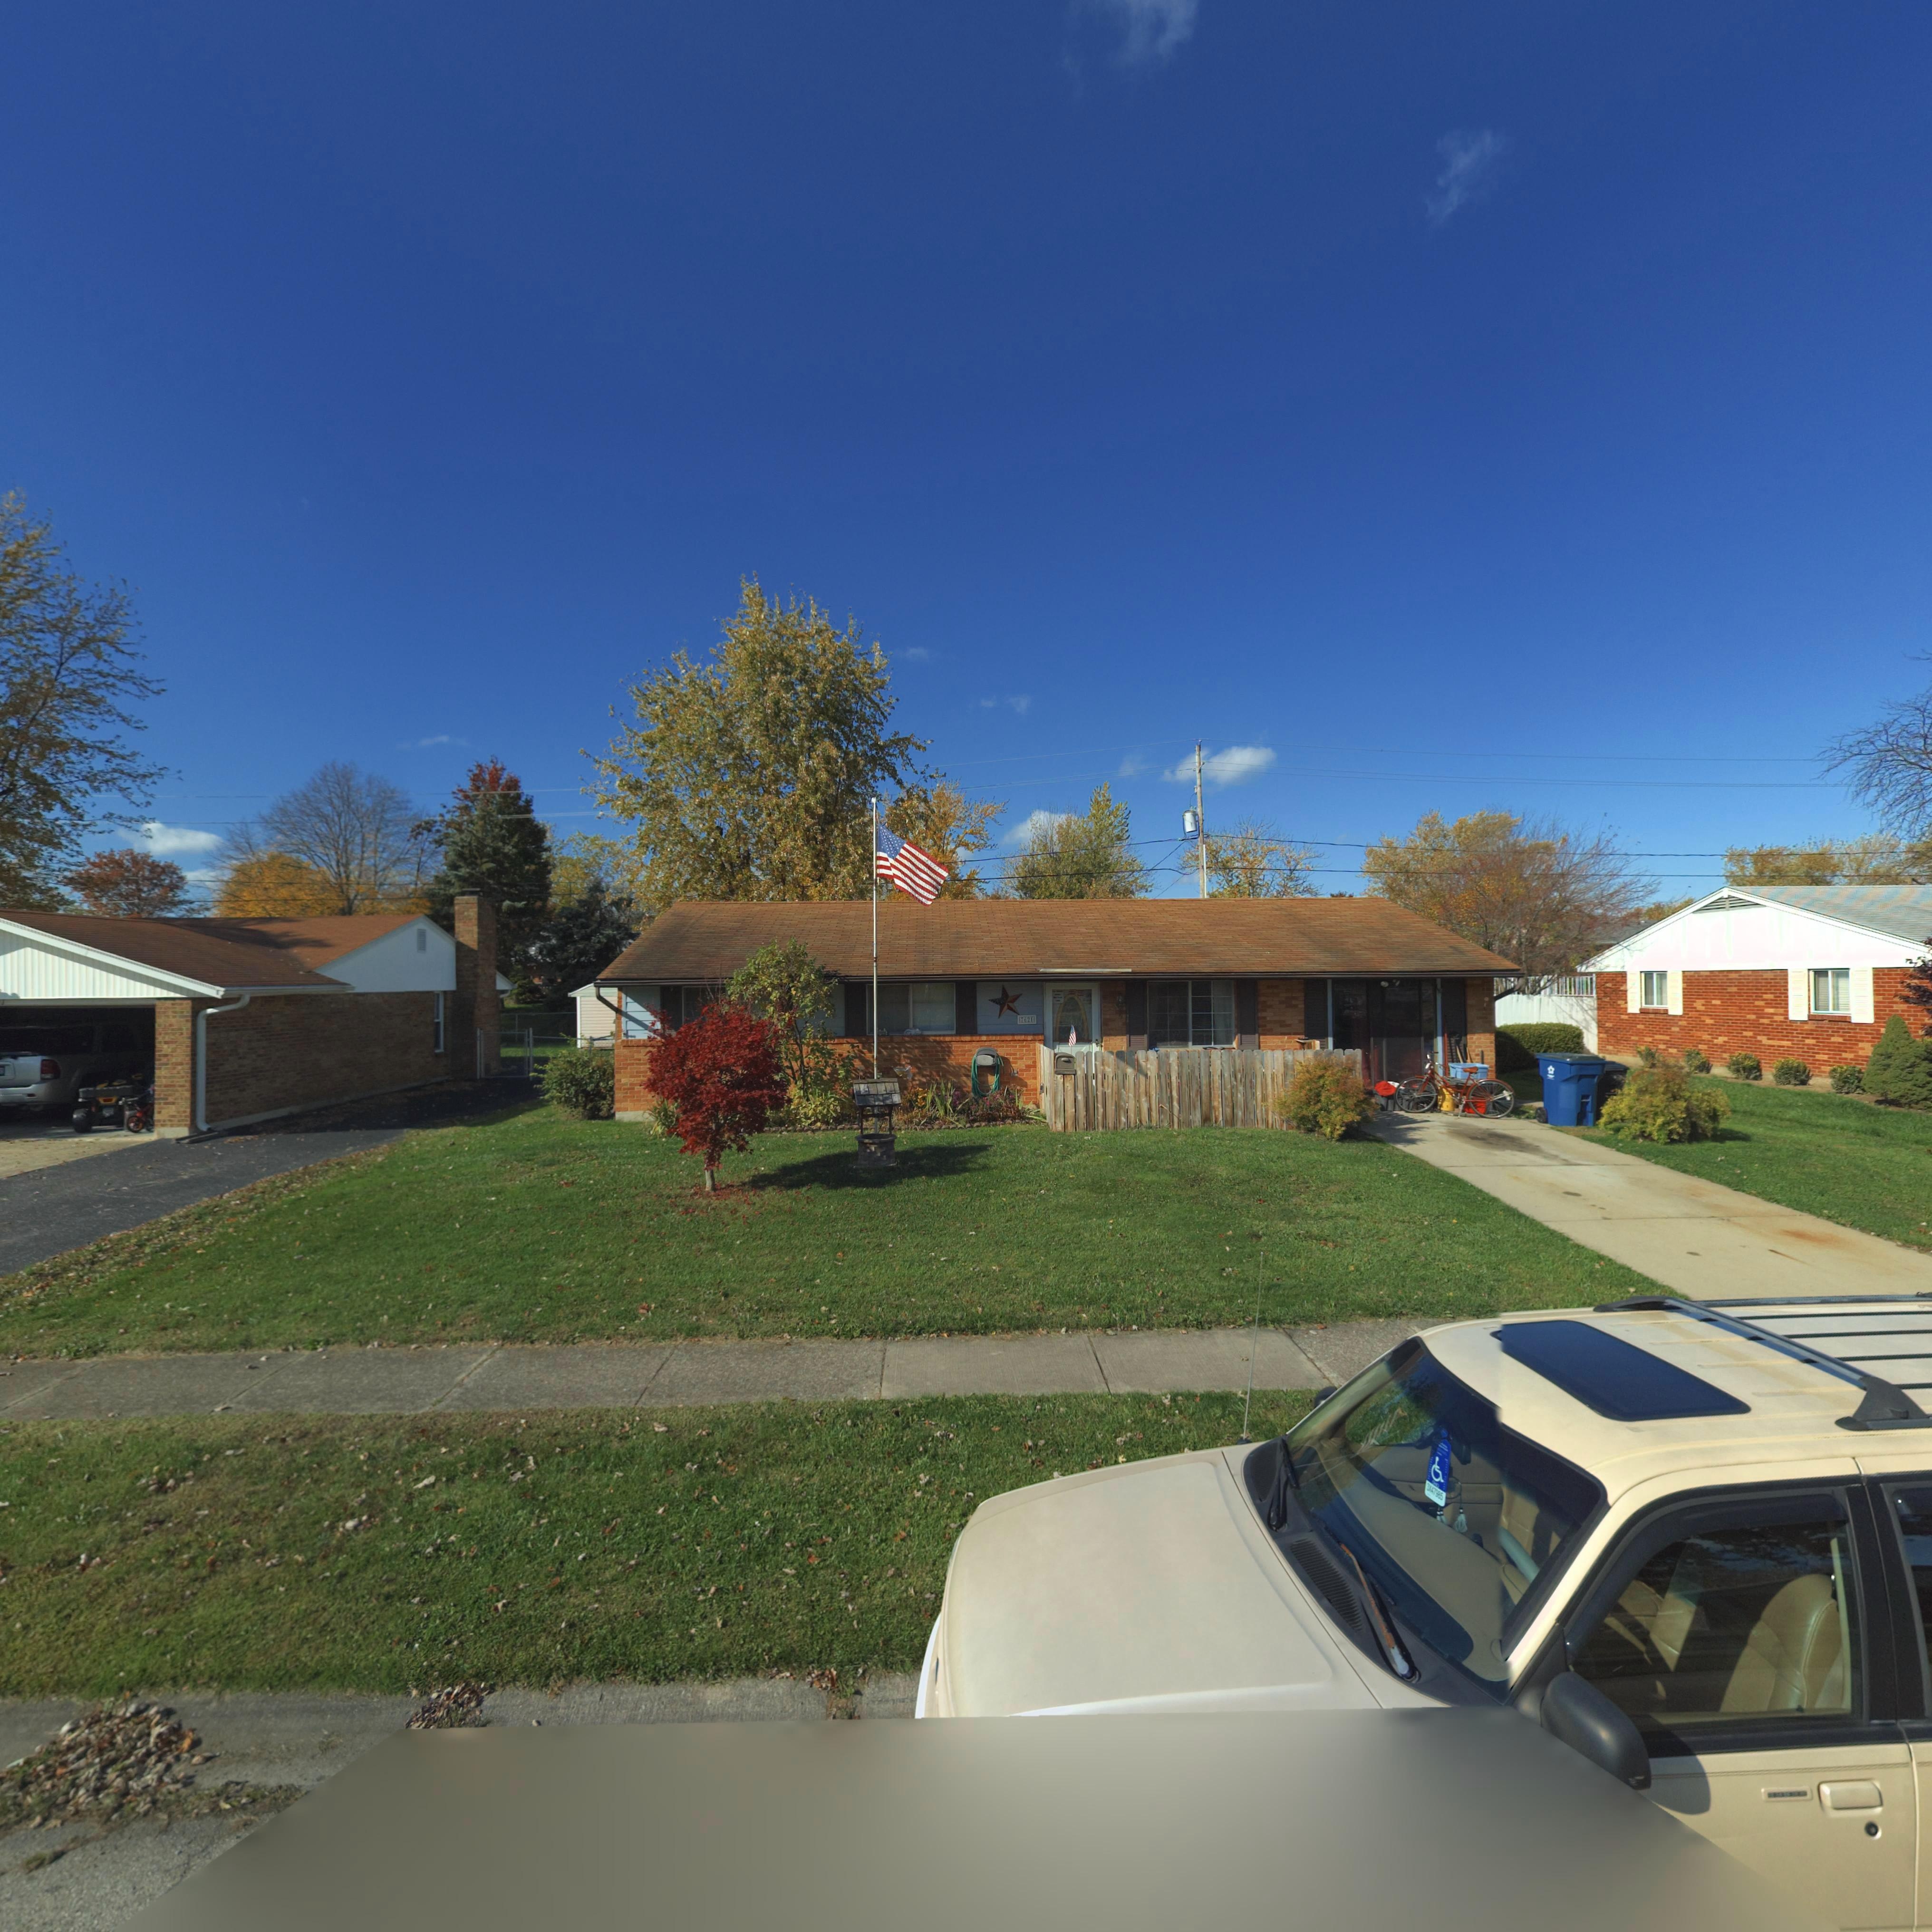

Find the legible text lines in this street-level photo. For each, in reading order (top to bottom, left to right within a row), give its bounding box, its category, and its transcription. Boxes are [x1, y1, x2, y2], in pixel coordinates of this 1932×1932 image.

[1019, 1015, 1034, 1024] StreetNumber: 7621